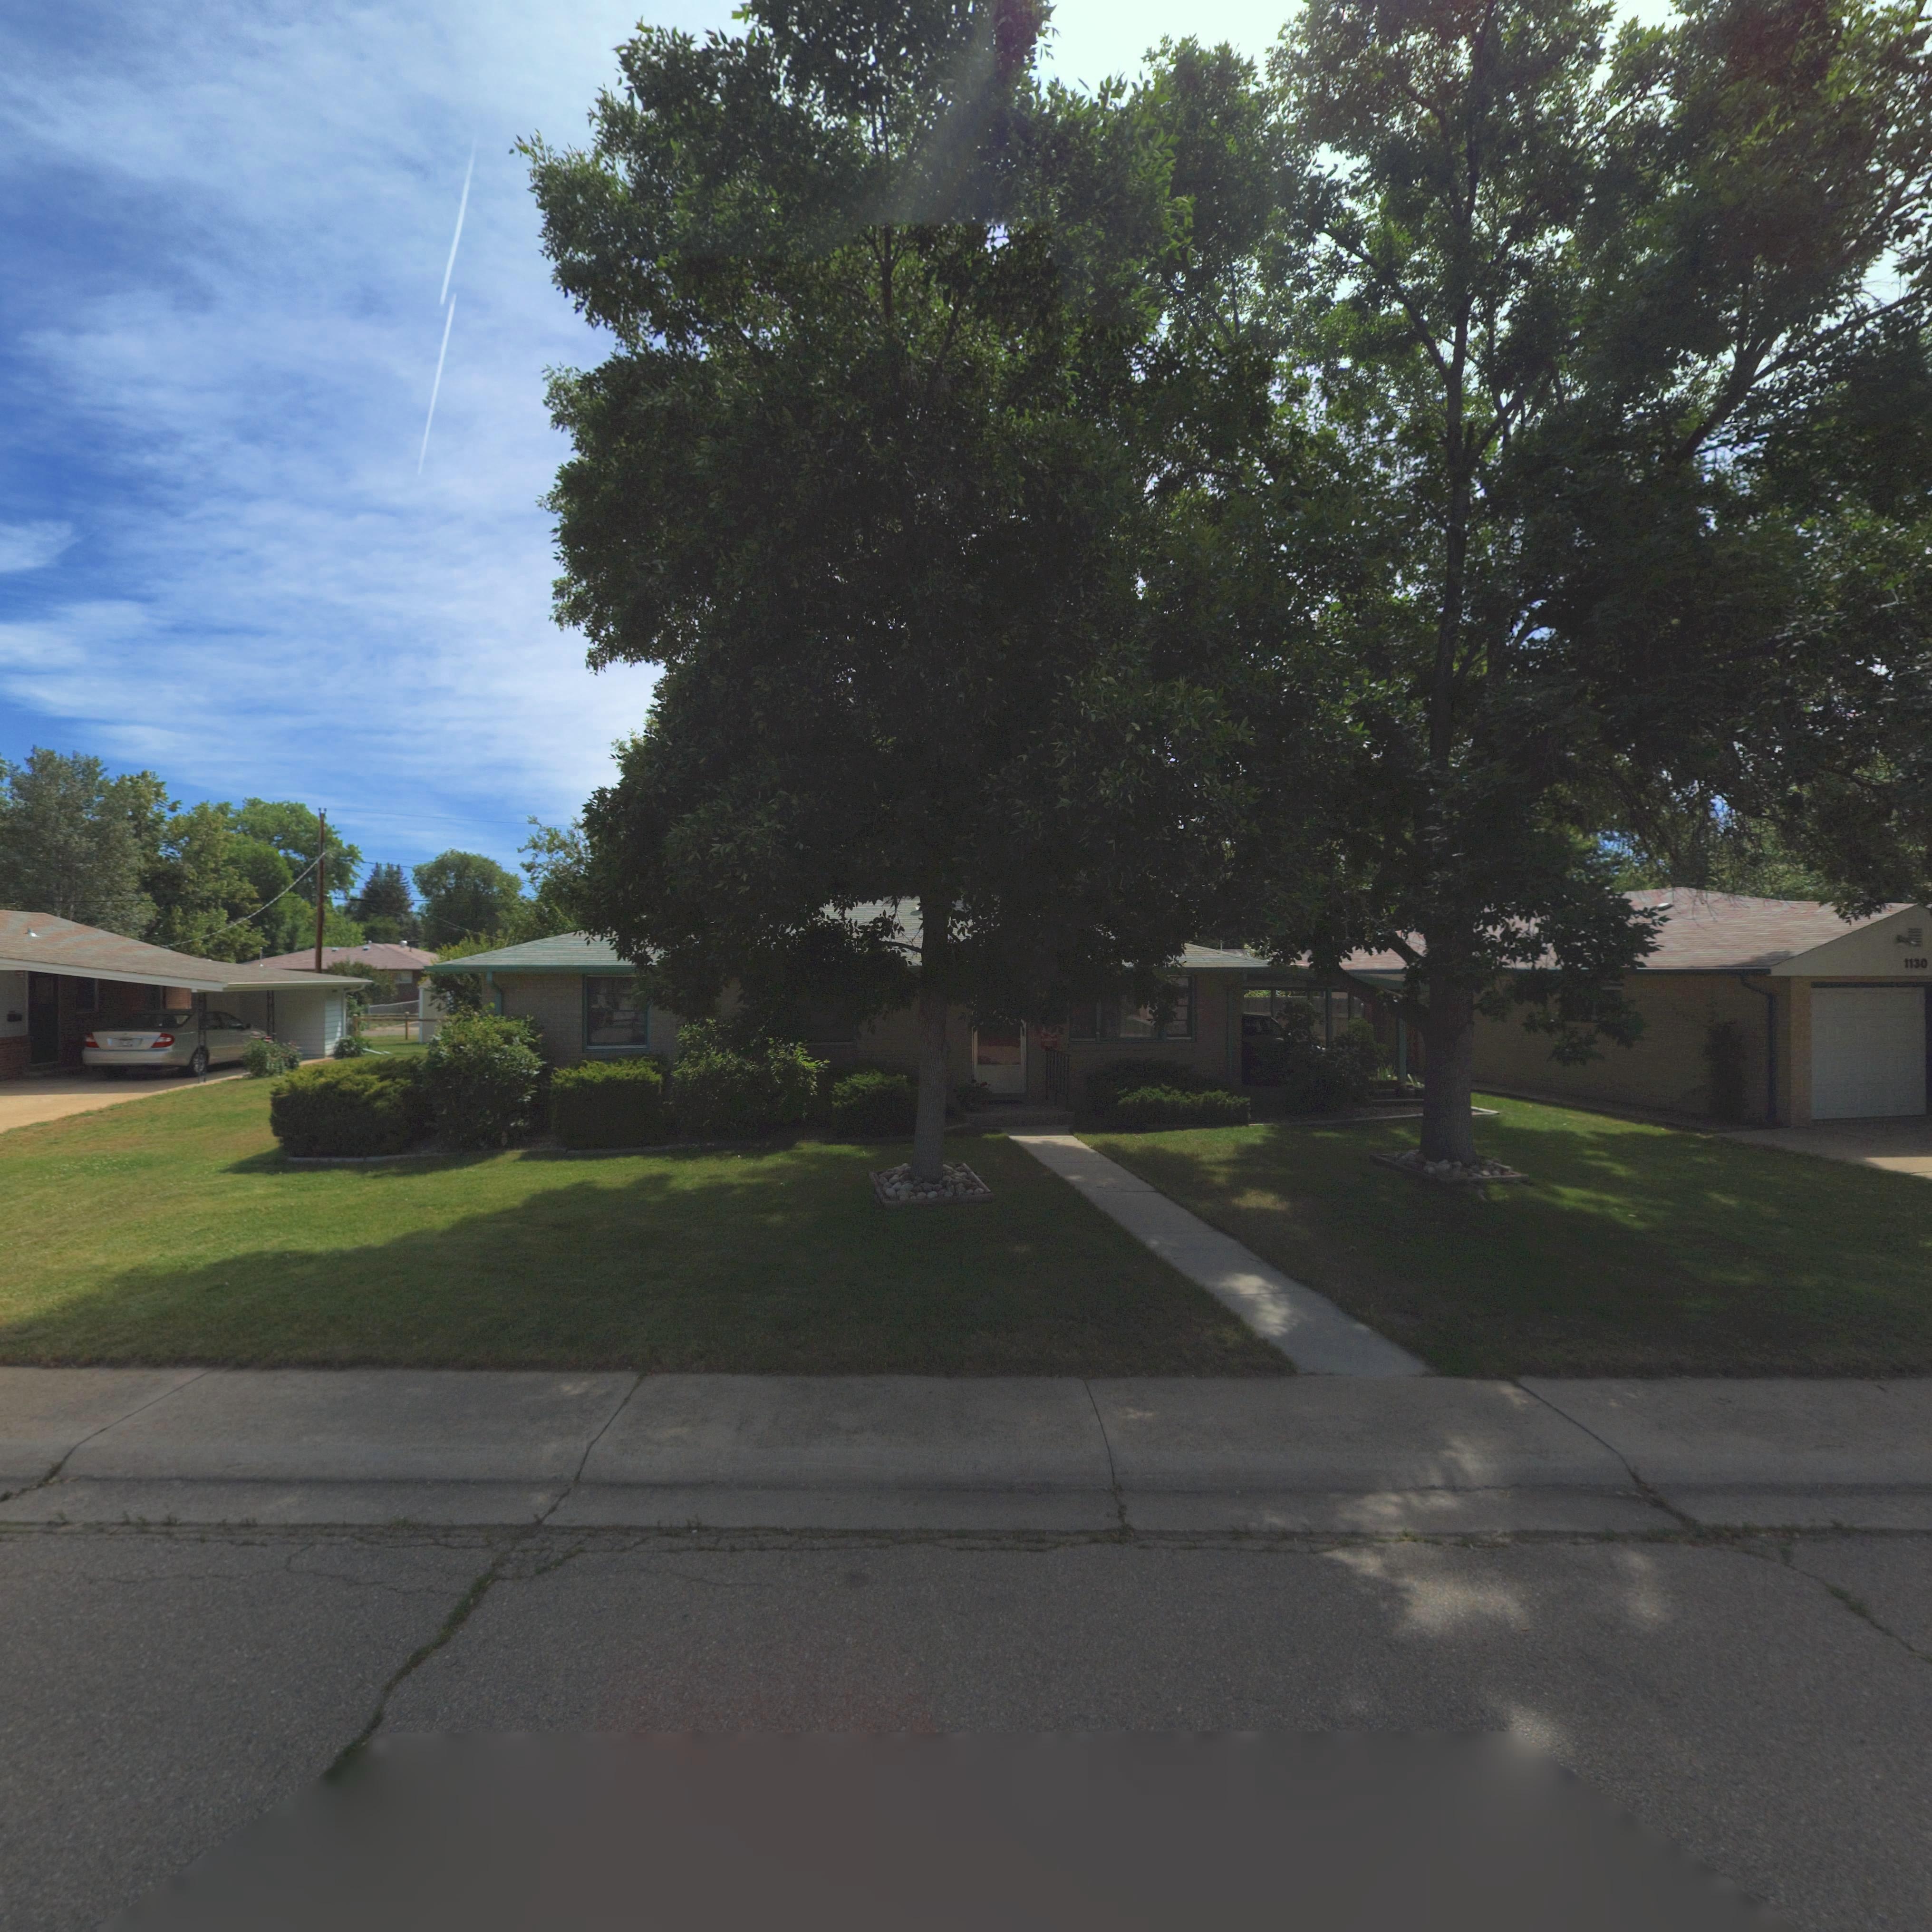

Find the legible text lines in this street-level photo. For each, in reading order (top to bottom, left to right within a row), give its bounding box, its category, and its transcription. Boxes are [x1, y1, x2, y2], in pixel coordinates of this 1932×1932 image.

[1903, 957, 1928, 968] StreetNumber: 1130